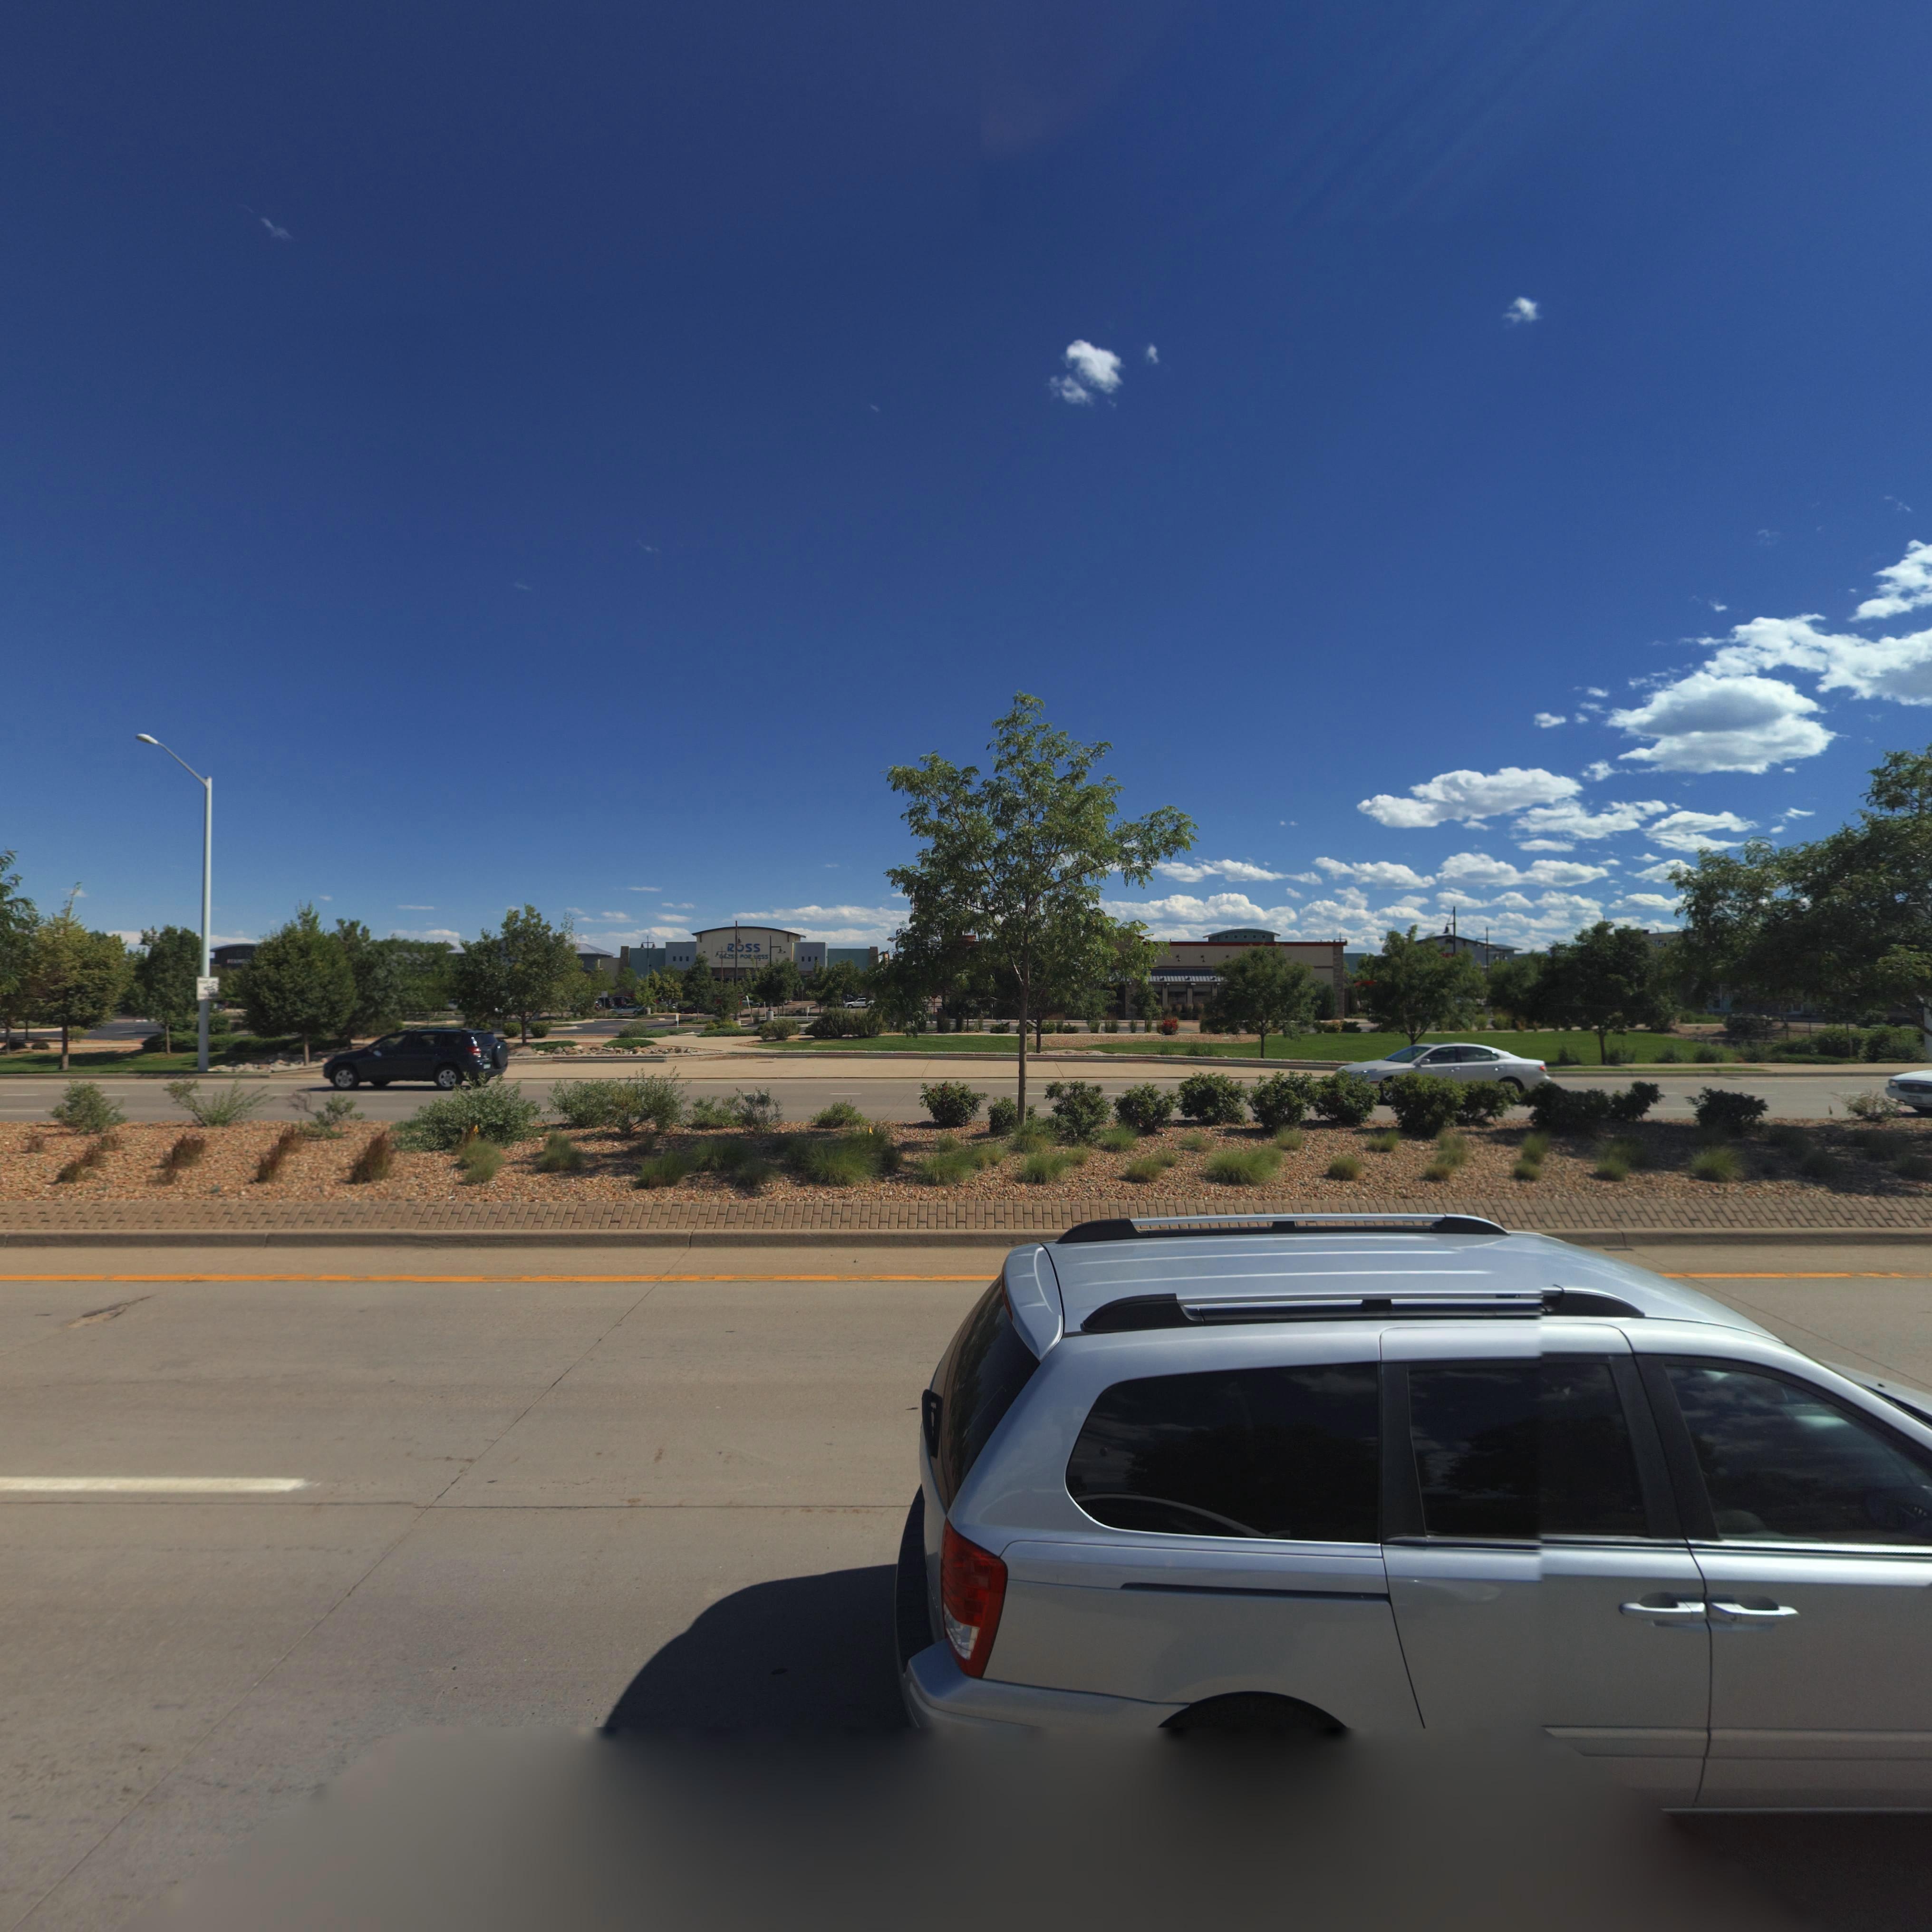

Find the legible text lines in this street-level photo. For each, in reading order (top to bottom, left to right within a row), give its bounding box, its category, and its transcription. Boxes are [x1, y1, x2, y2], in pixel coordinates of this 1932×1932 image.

[726, 943, 761, 952] BusinessName: ROSS